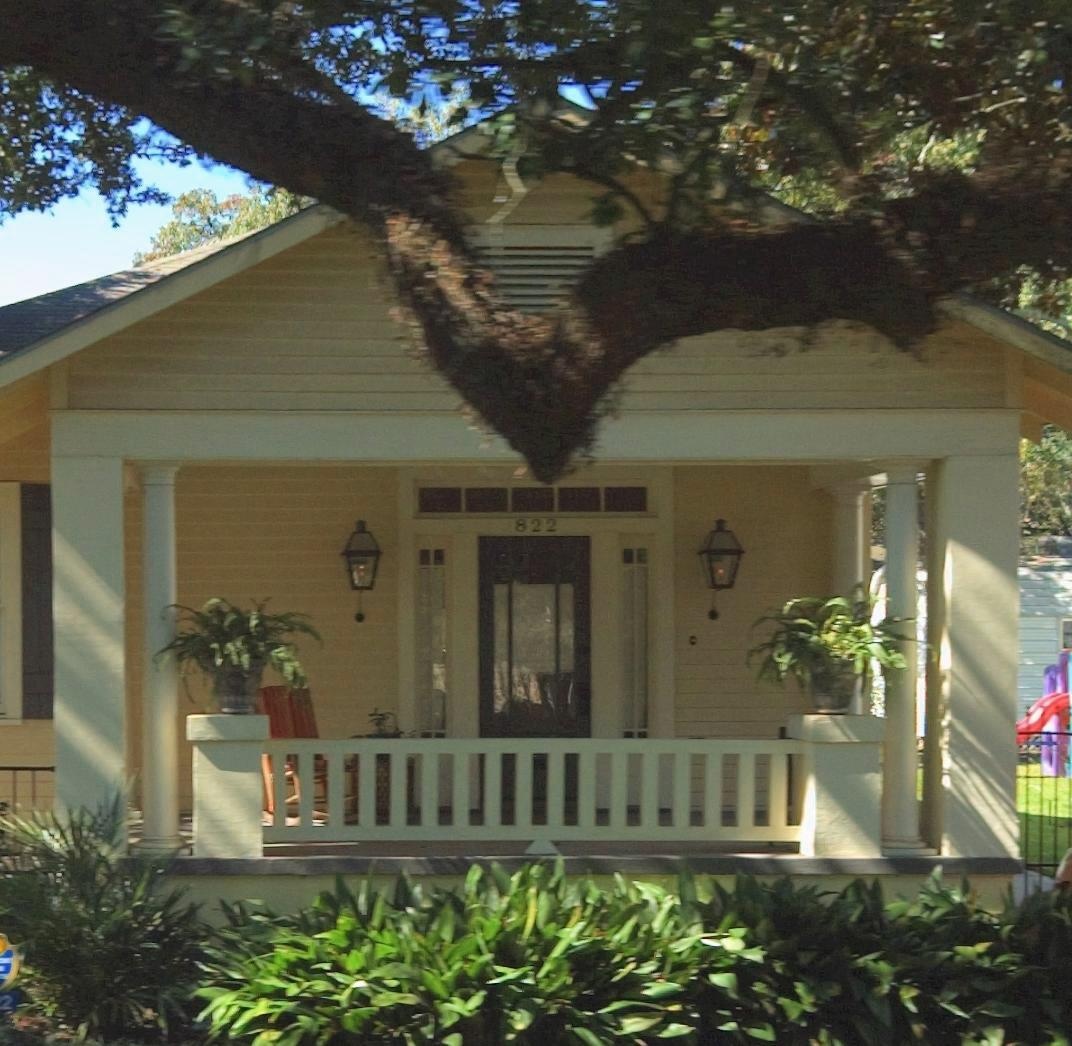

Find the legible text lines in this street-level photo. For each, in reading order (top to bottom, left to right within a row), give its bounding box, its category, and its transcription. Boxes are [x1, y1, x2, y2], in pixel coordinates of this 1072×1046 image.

[513, 516, 558, 535] StreetNumber: 822